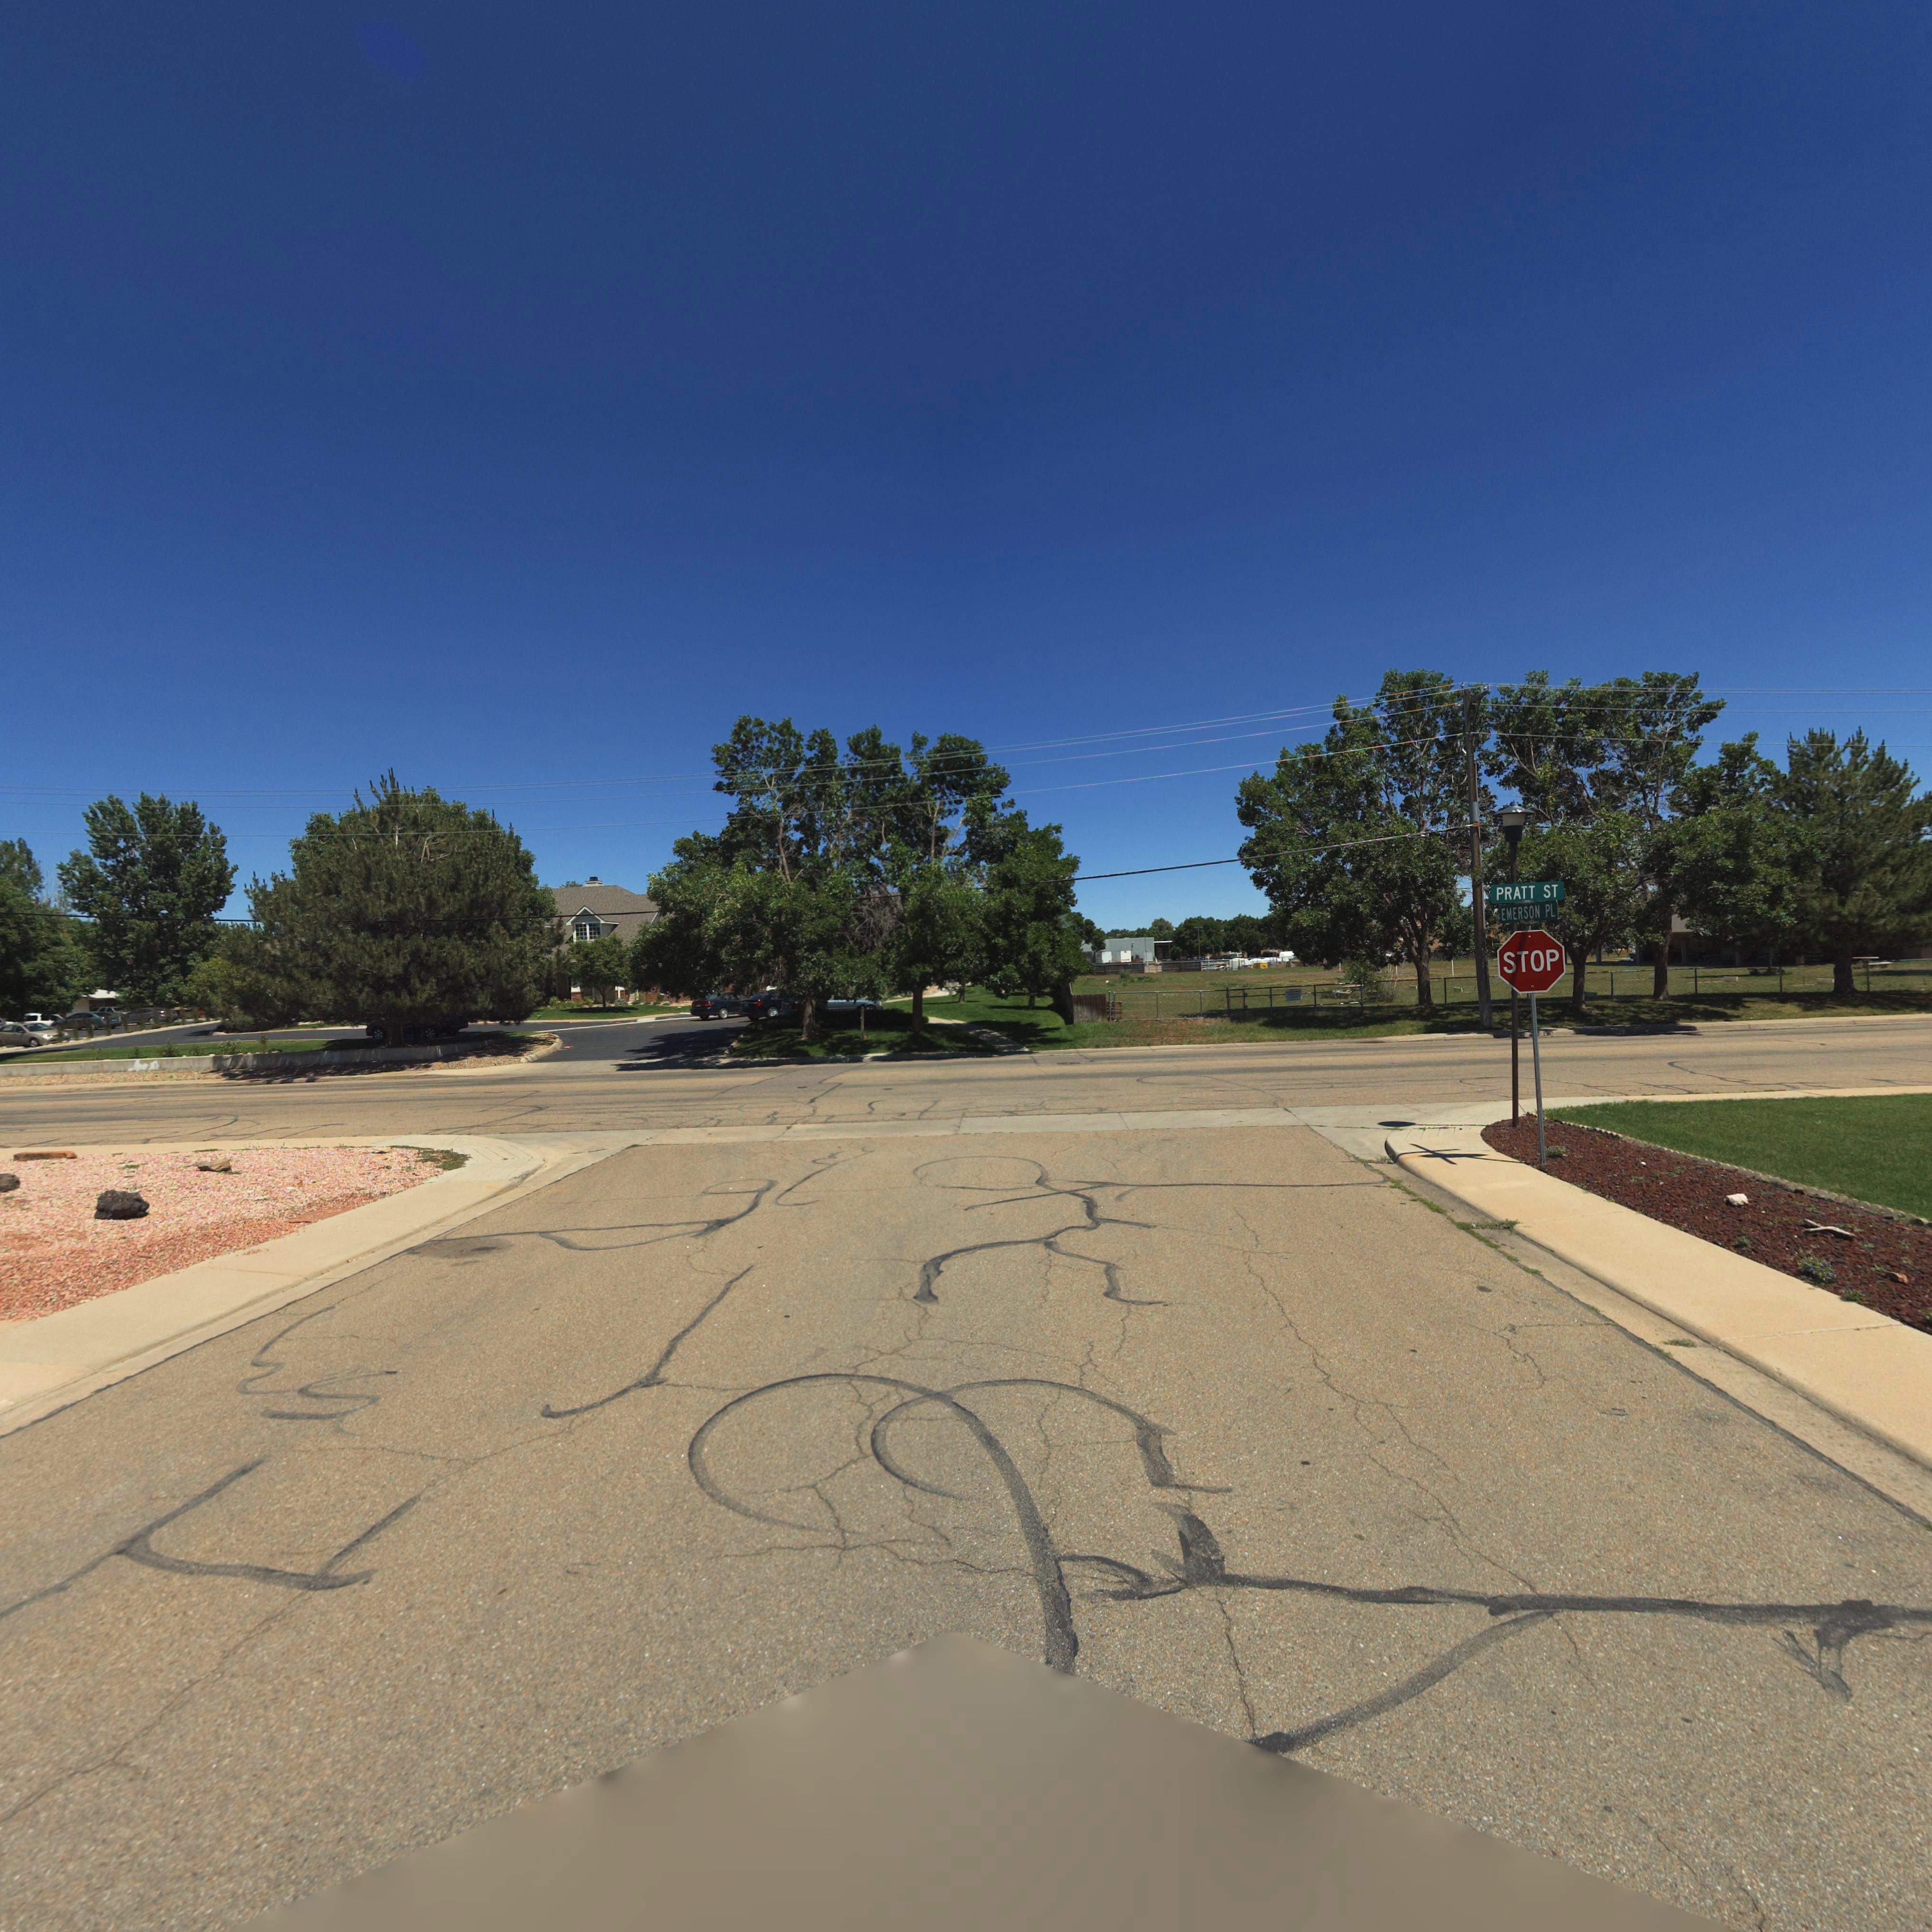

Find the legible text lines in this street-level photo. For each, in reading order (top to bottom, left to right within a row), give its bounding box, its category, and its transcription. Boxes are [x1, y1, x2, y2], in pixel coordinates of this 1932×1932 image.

[1496, 883, 1559, 901] StreetName: PRATT ST
[1500, 903, 1556, 921] StreetName: EMERSON PL